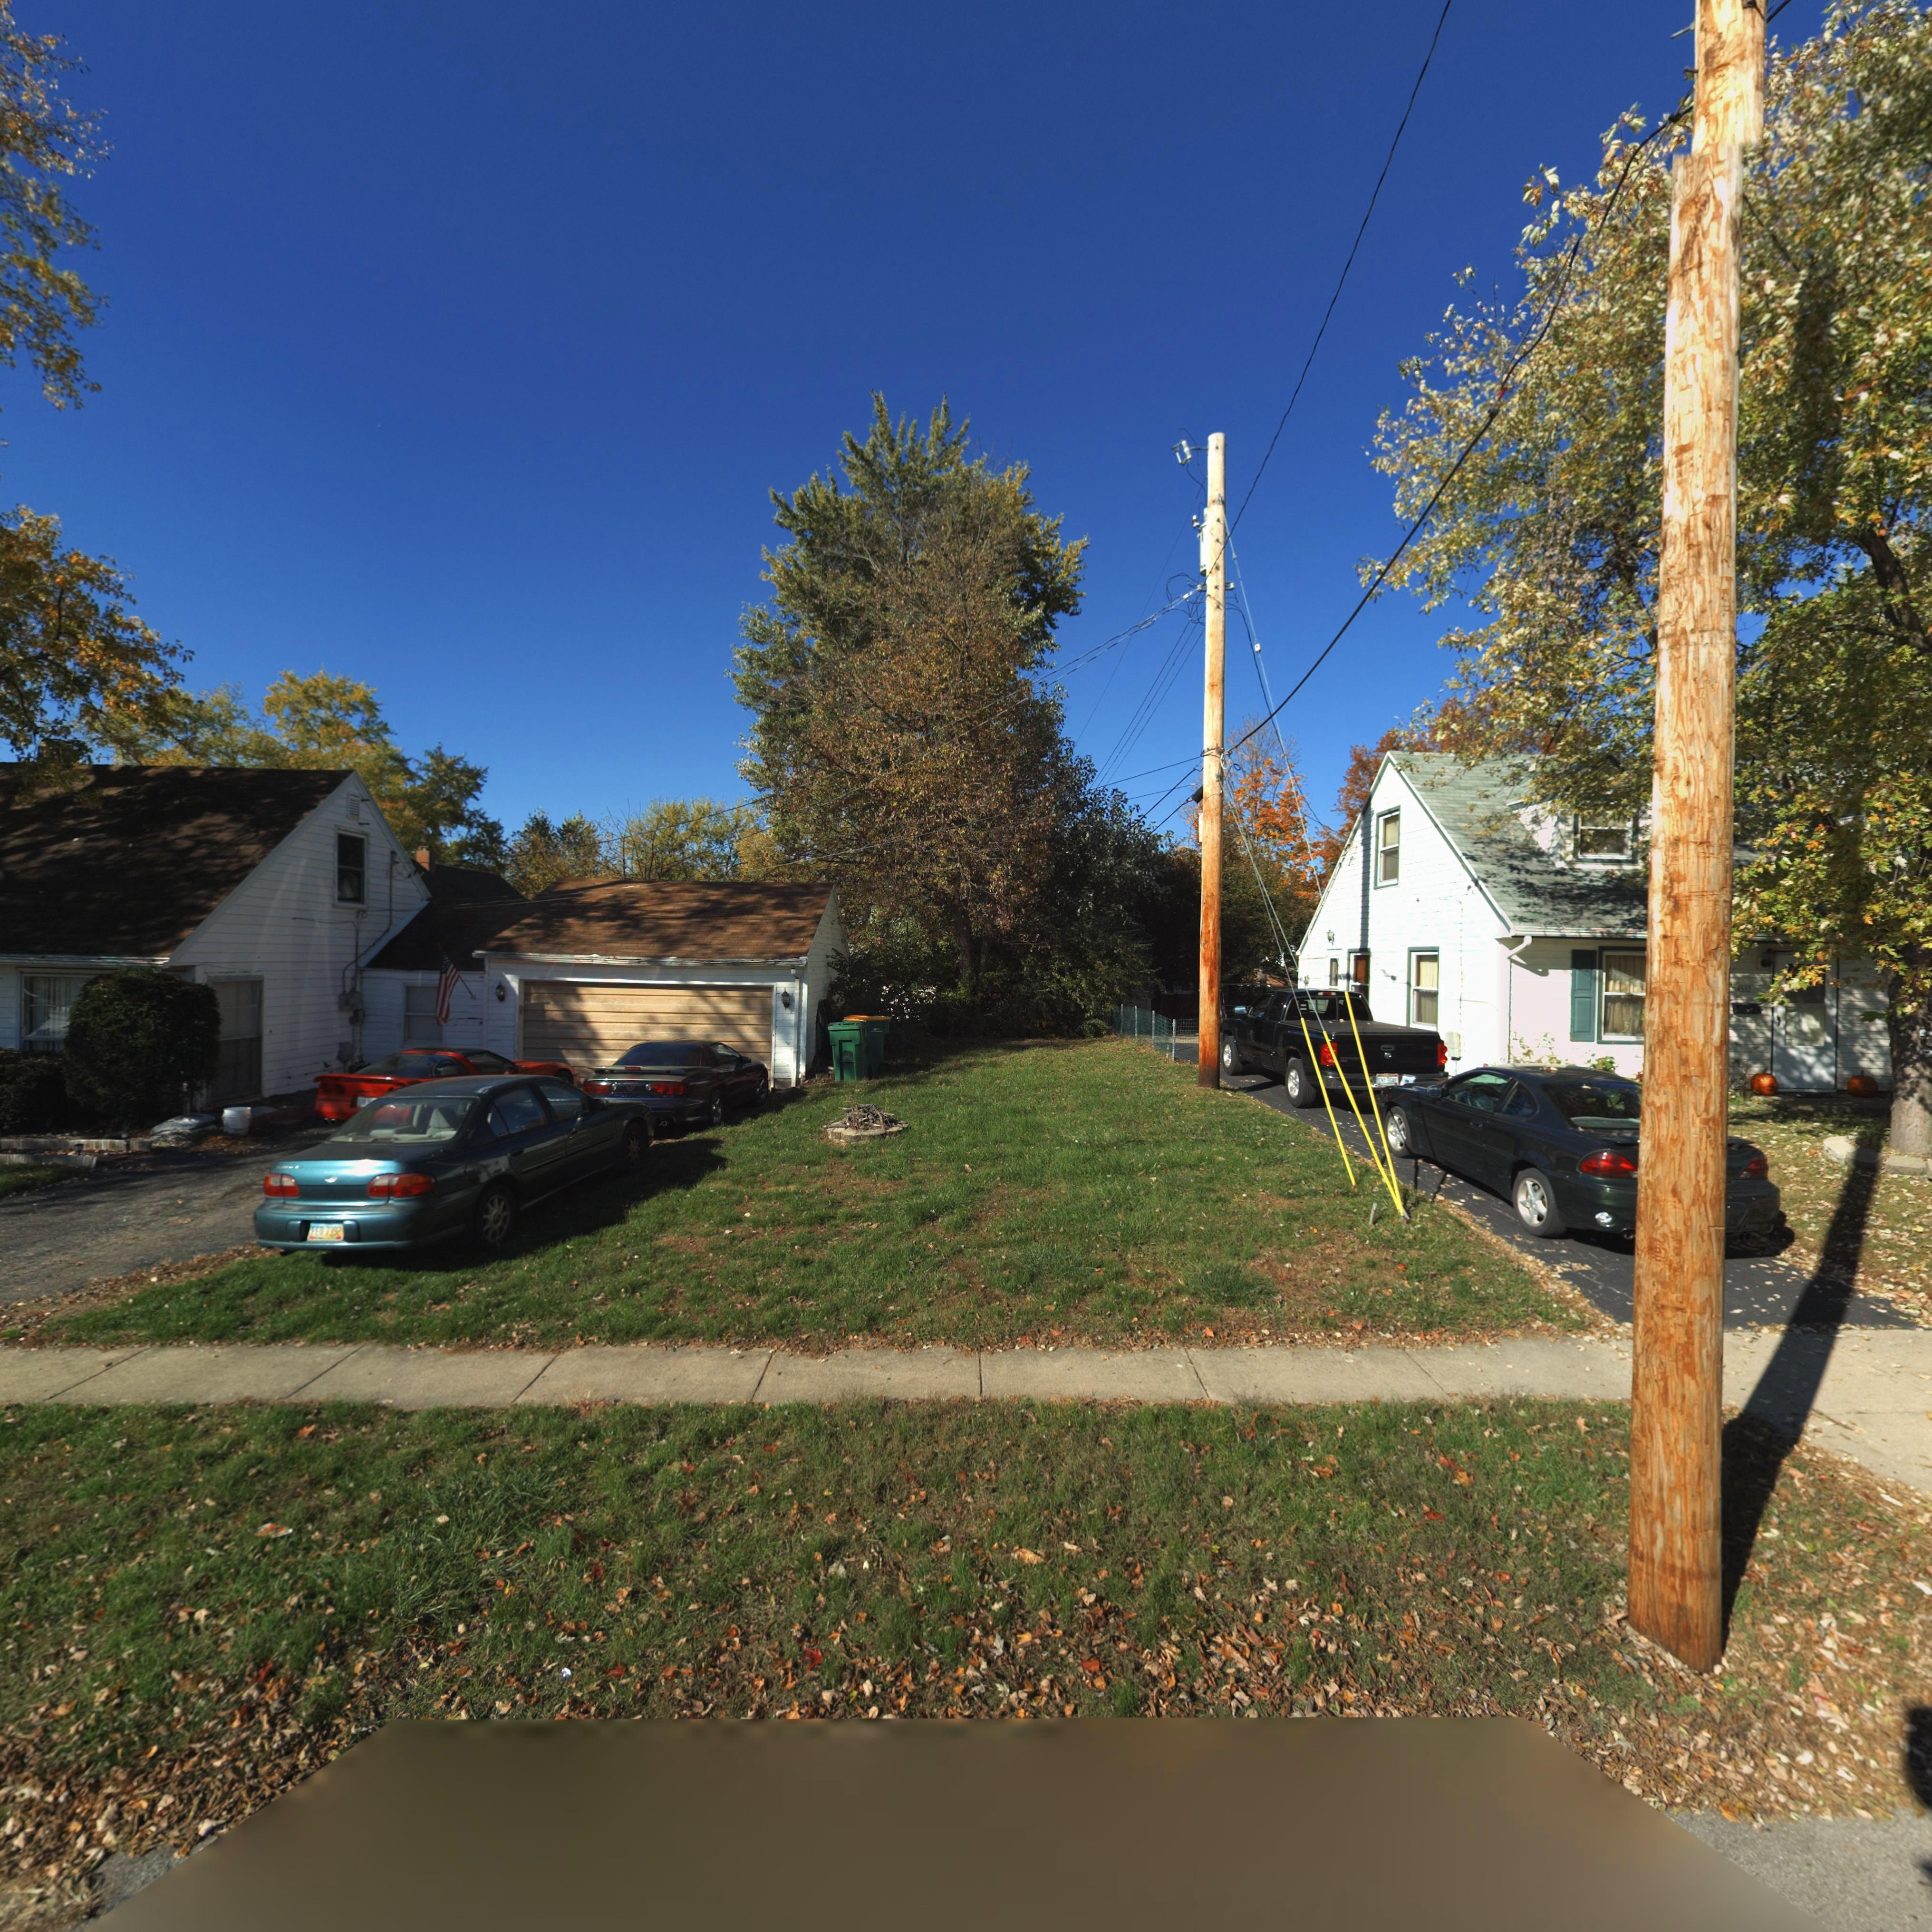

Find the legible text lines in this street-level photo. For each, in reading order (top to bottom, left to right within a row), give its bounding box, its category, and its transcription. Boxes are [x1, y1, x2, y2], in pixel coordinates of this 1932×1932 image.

[1736, 985, 1752, 993] StreetNumber: 4553